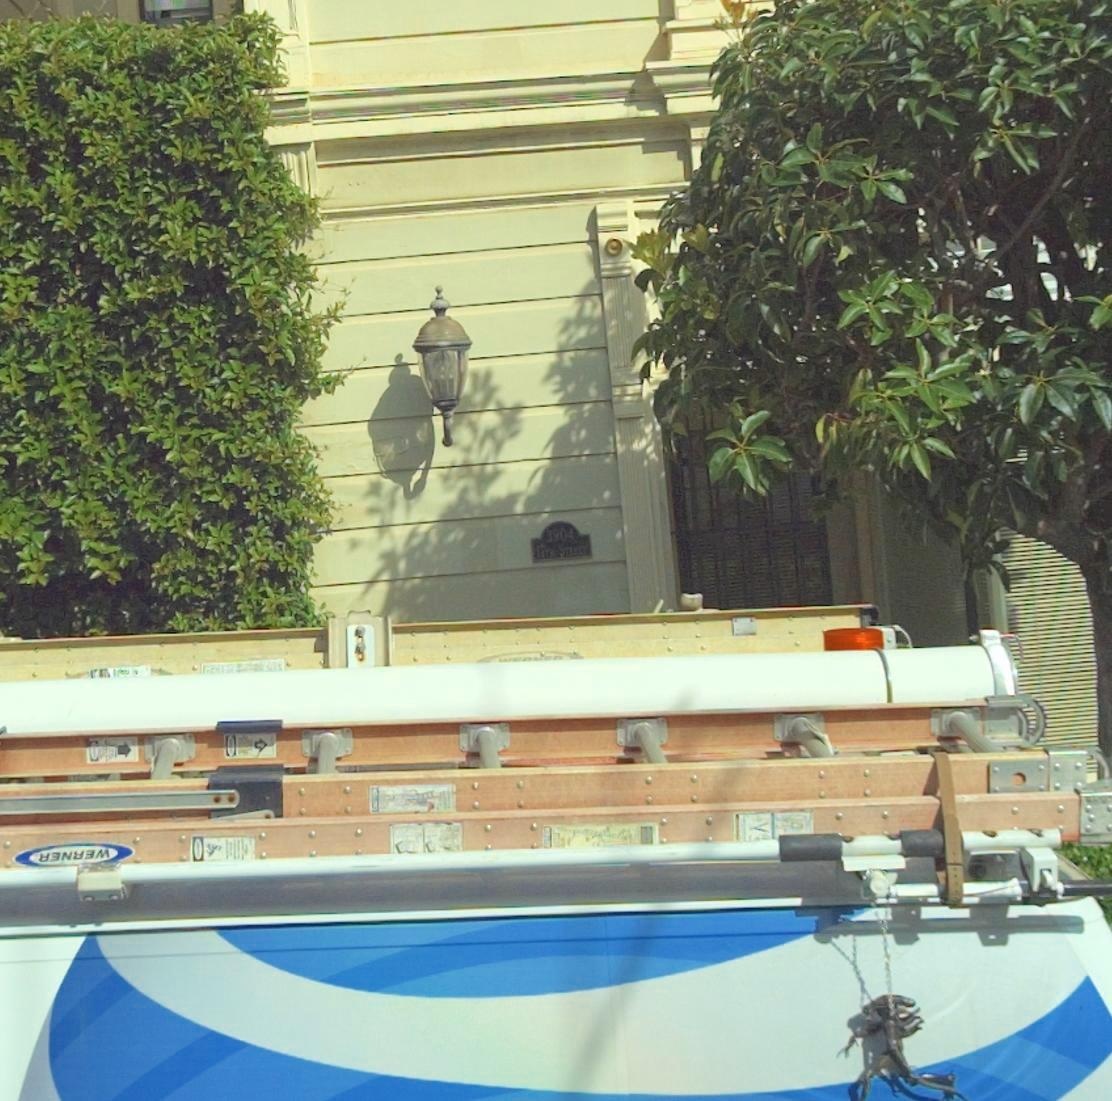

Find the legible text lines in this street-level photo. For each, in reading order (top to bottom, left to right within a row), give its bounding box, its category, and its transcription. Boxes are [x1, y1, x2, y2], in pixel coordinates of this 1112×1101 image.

[545, 527, 575, 543] StreetNumber: 3904
[534, 543, 590, 559] StreetName: 17TH STREET